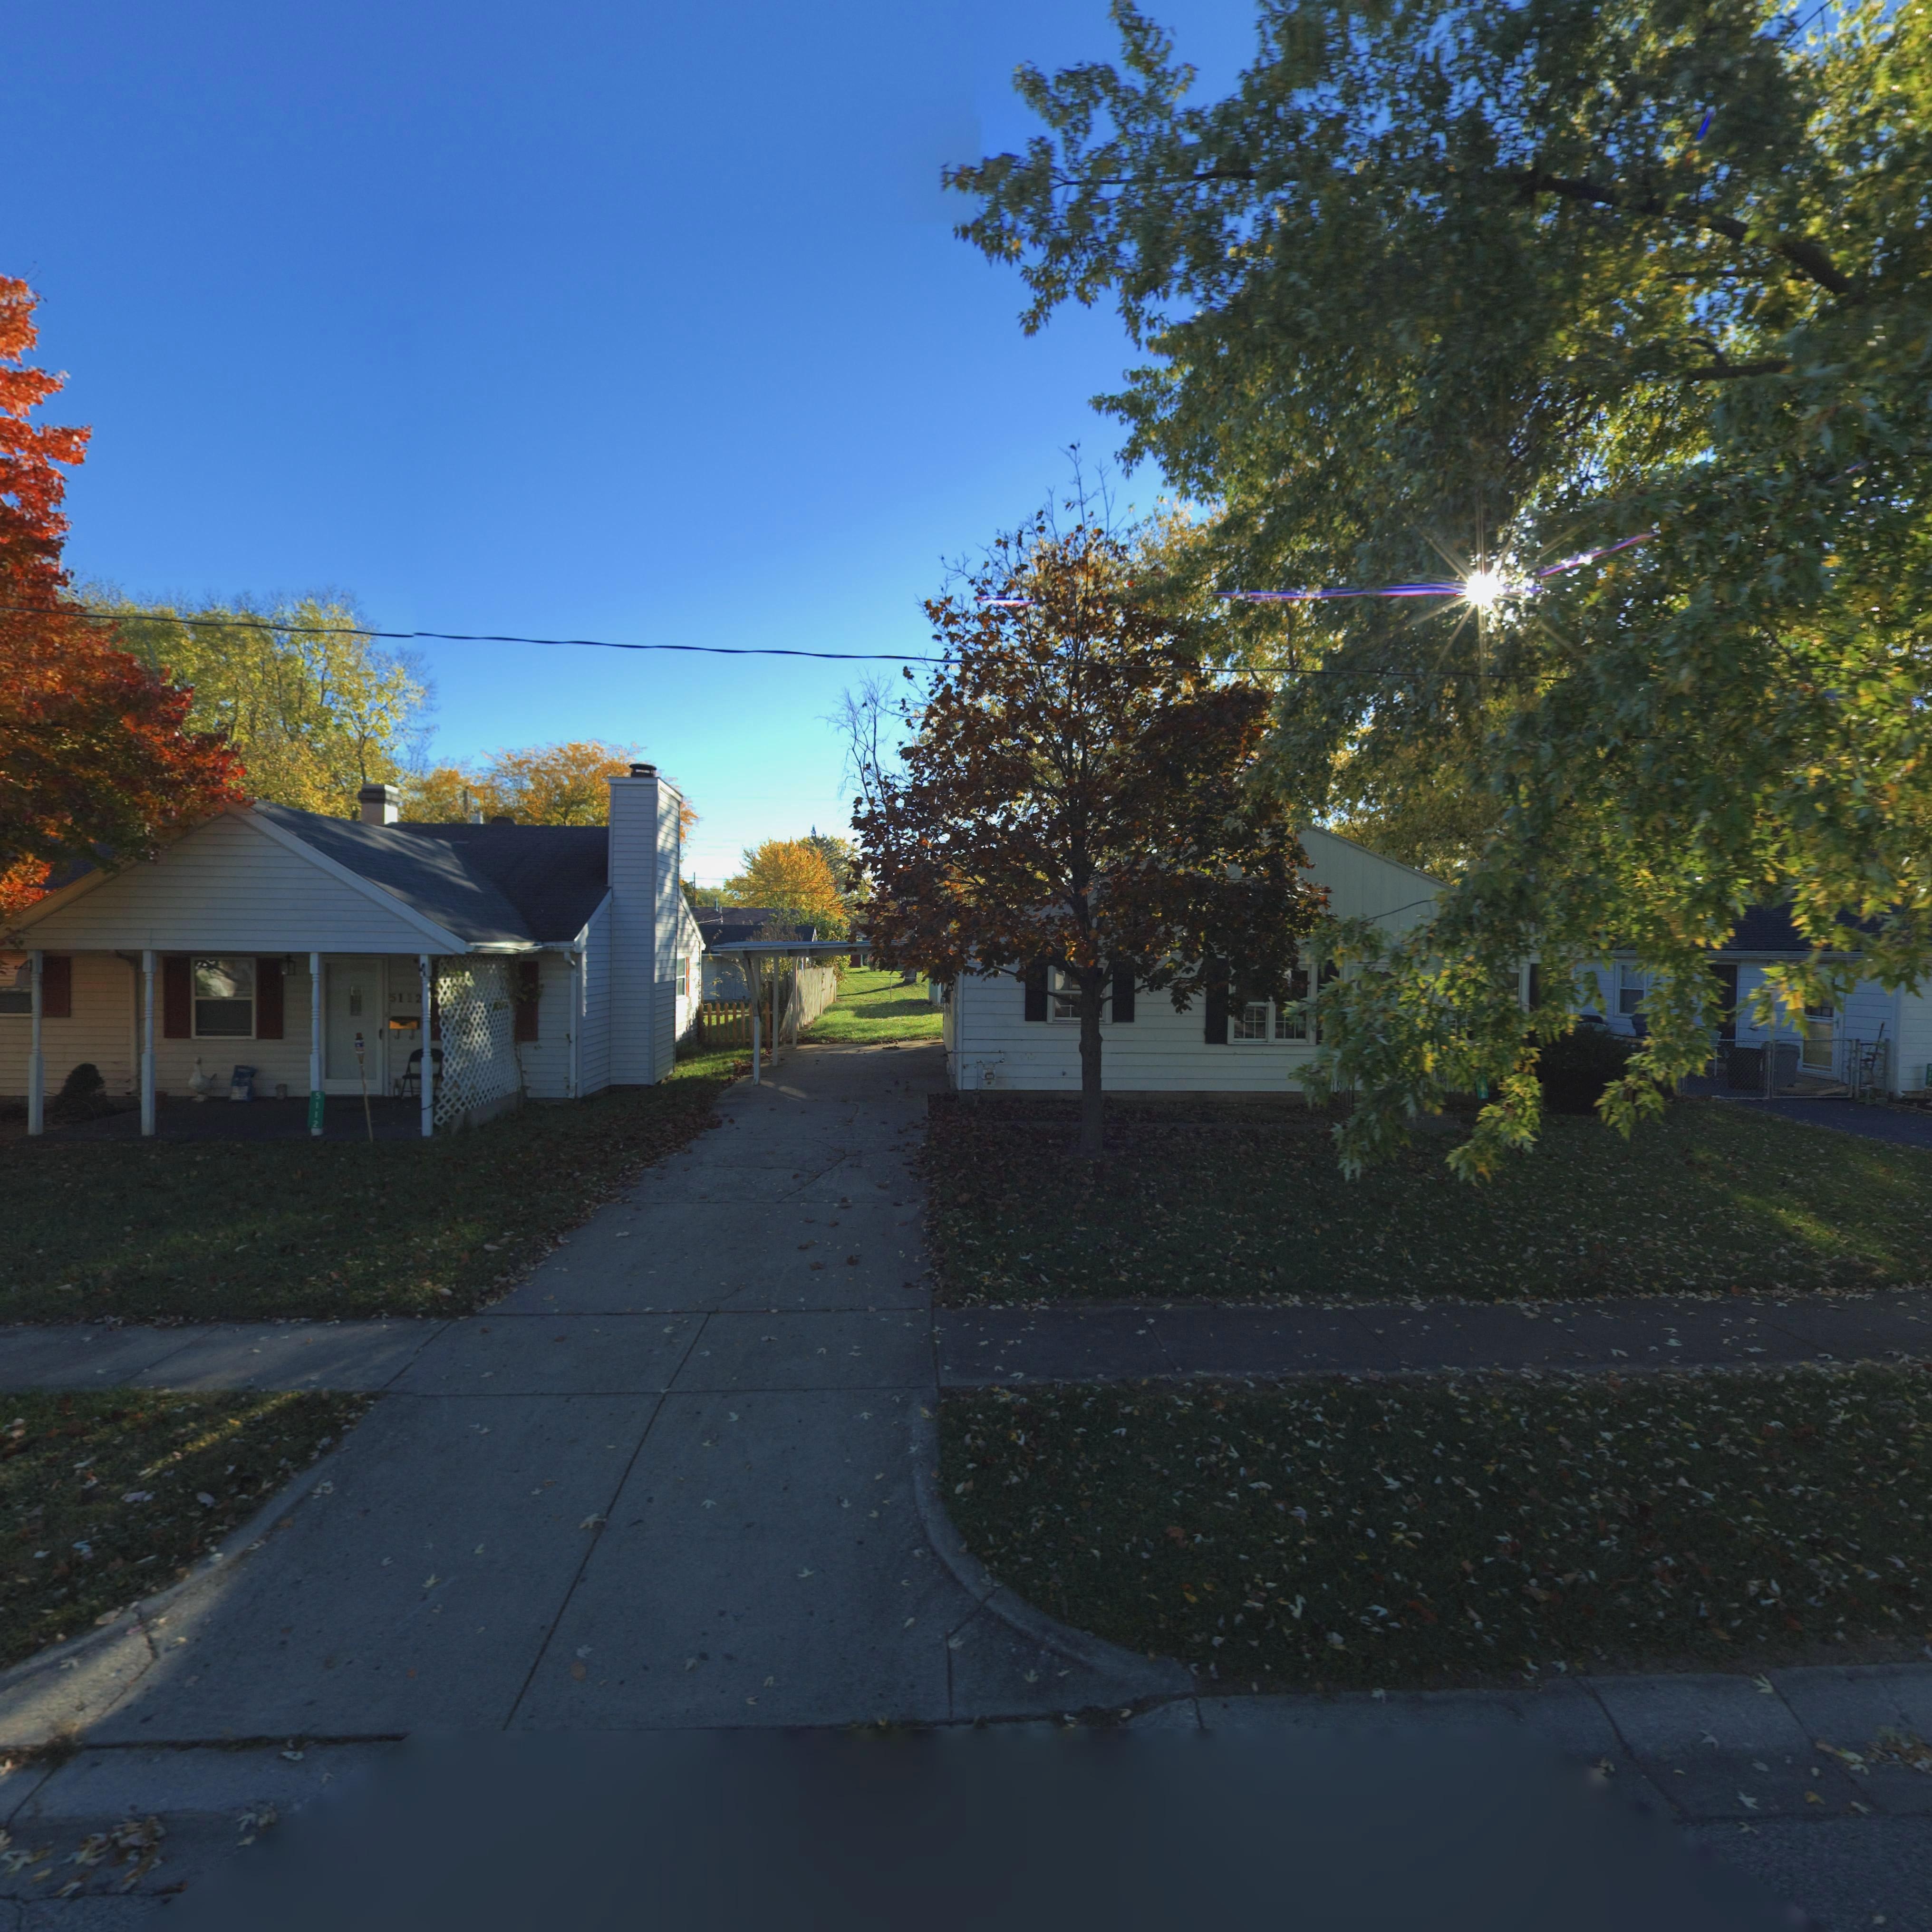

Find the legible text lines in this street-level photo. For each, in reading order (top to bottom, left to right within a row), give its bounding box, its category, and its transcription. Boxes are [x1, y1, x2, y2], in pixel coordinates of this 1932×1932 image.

[388, 992, 422, 1004] StreetNumber: 5112
[312, 1091, 321, 1128] StreetNumber: 5112